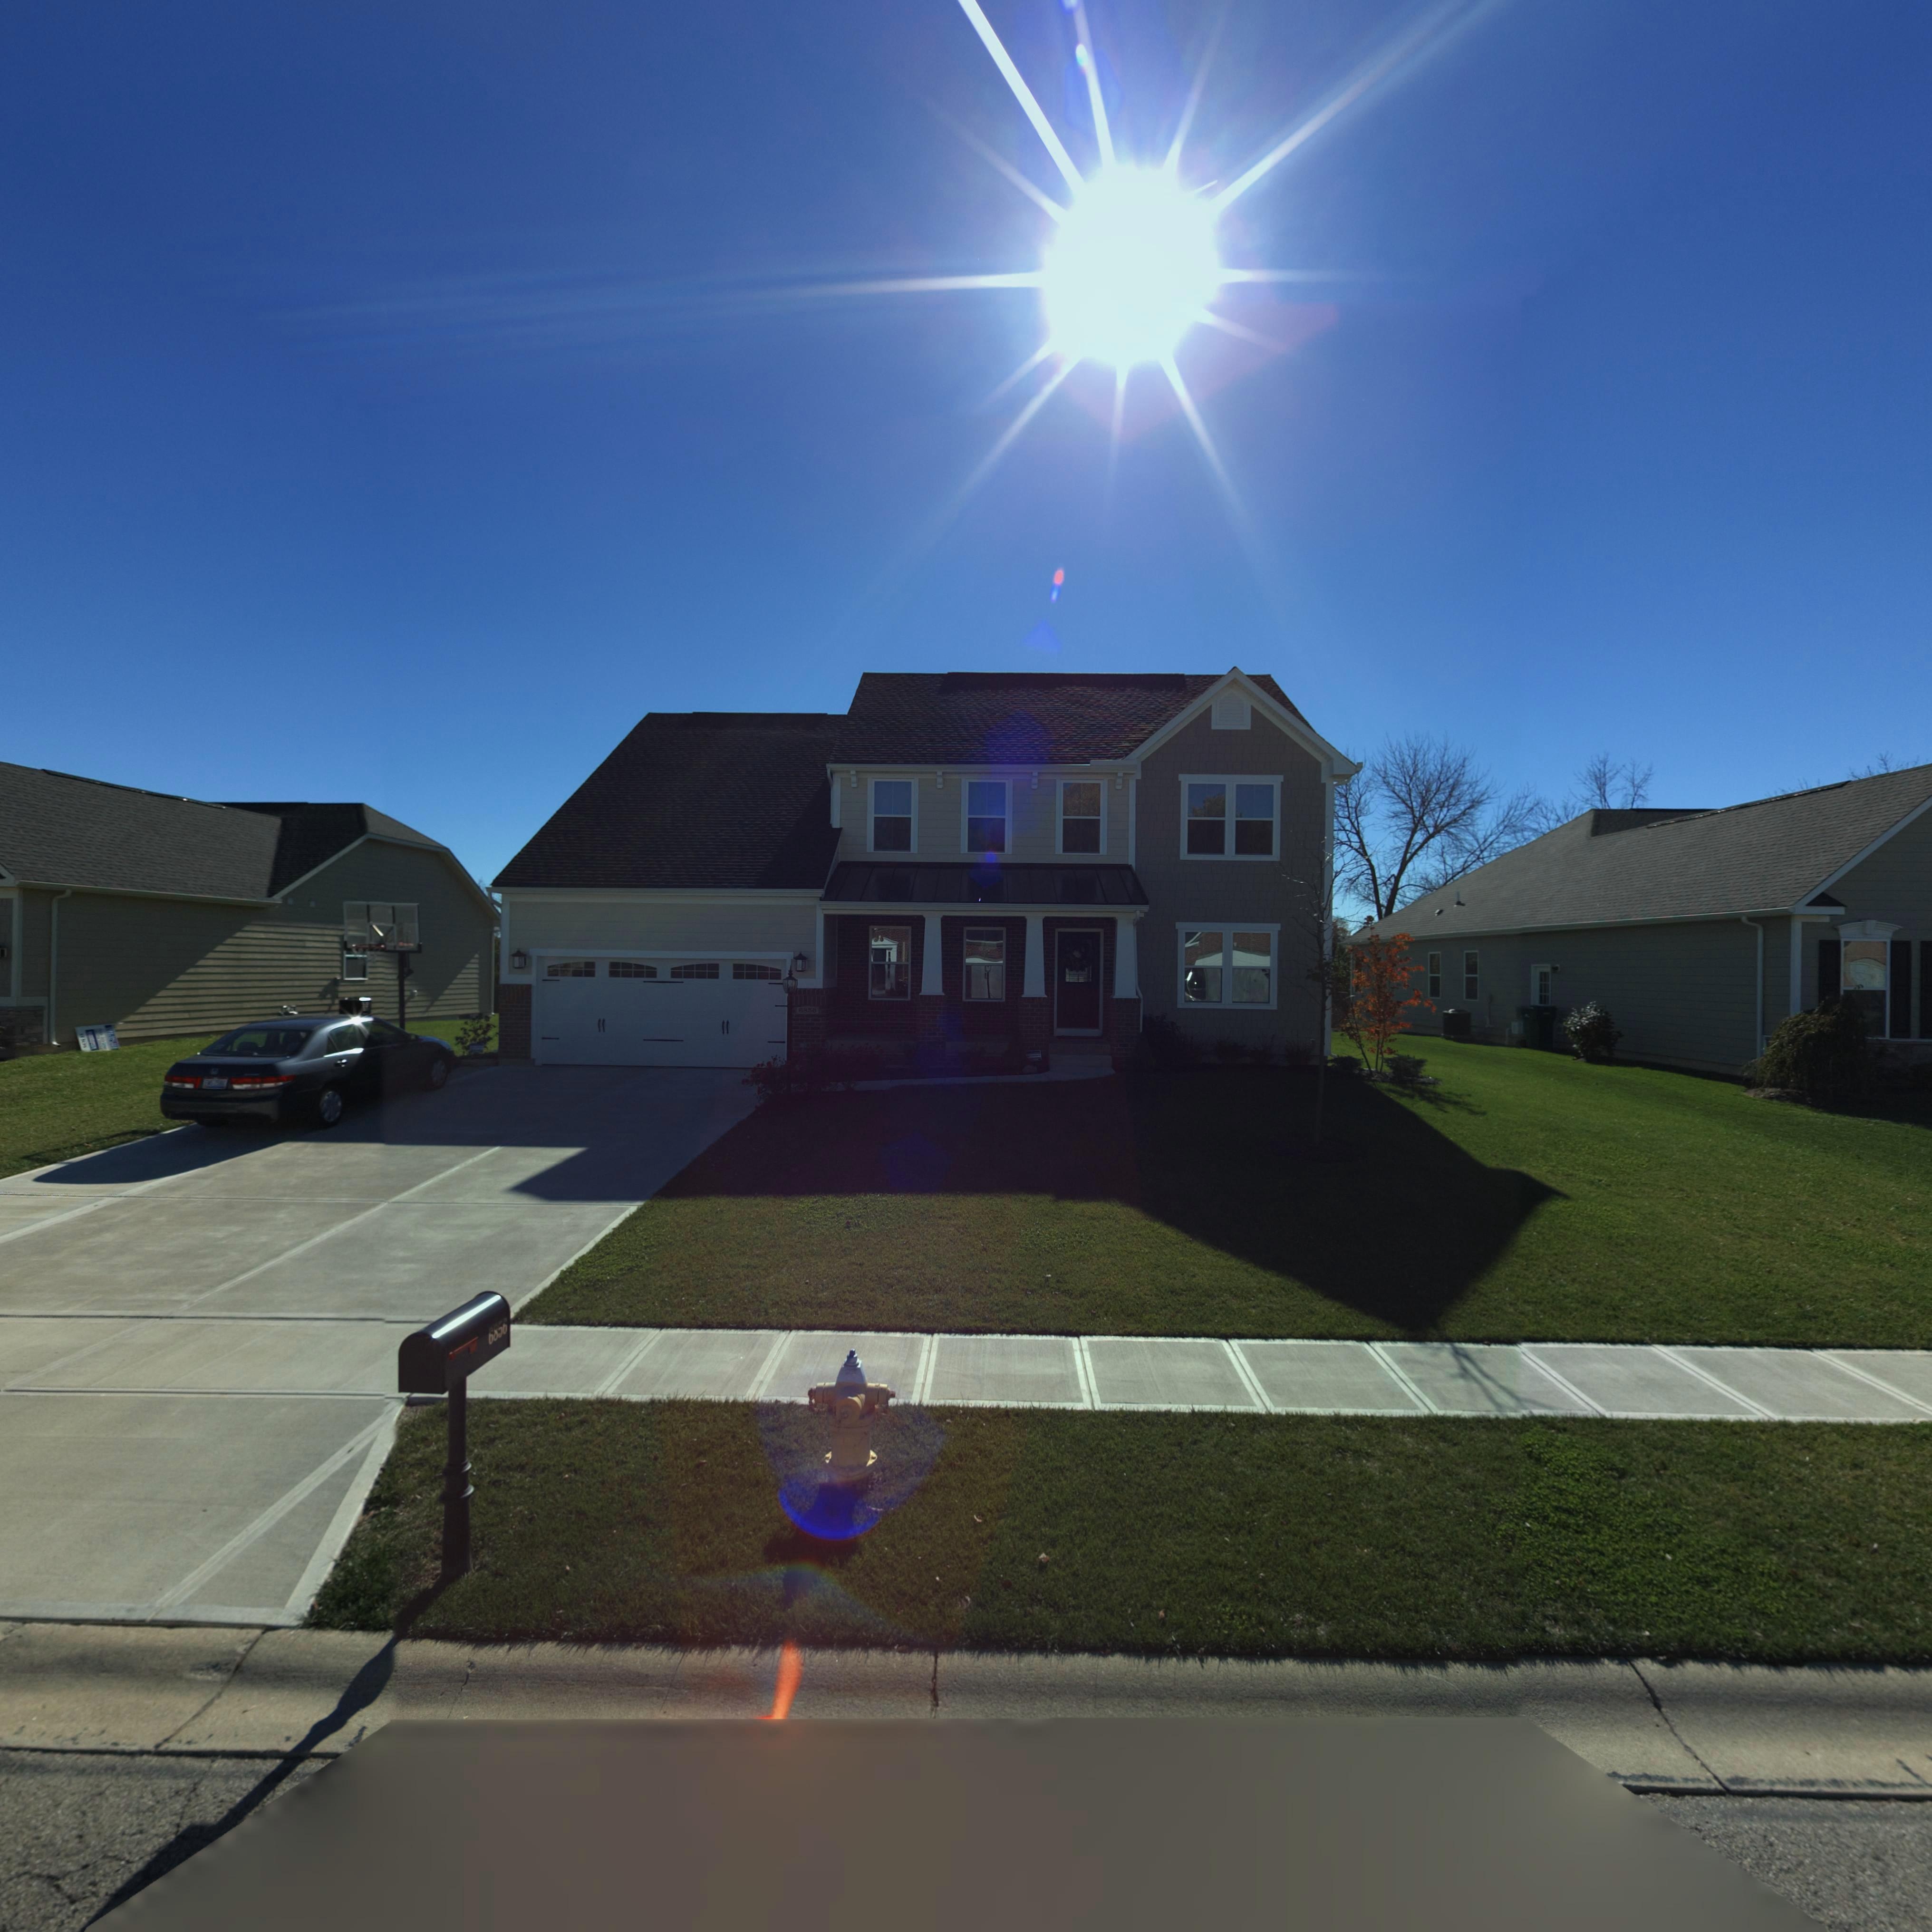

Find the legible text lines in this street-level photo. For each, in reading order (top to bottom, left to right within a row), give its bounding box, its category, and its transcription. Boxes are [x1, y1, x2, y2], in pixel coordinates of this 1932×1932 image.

[798, 1007, 817, 1014] StreetNumber: 6*56
[486, 1315, 509, 1347] StreetNumber: 6856